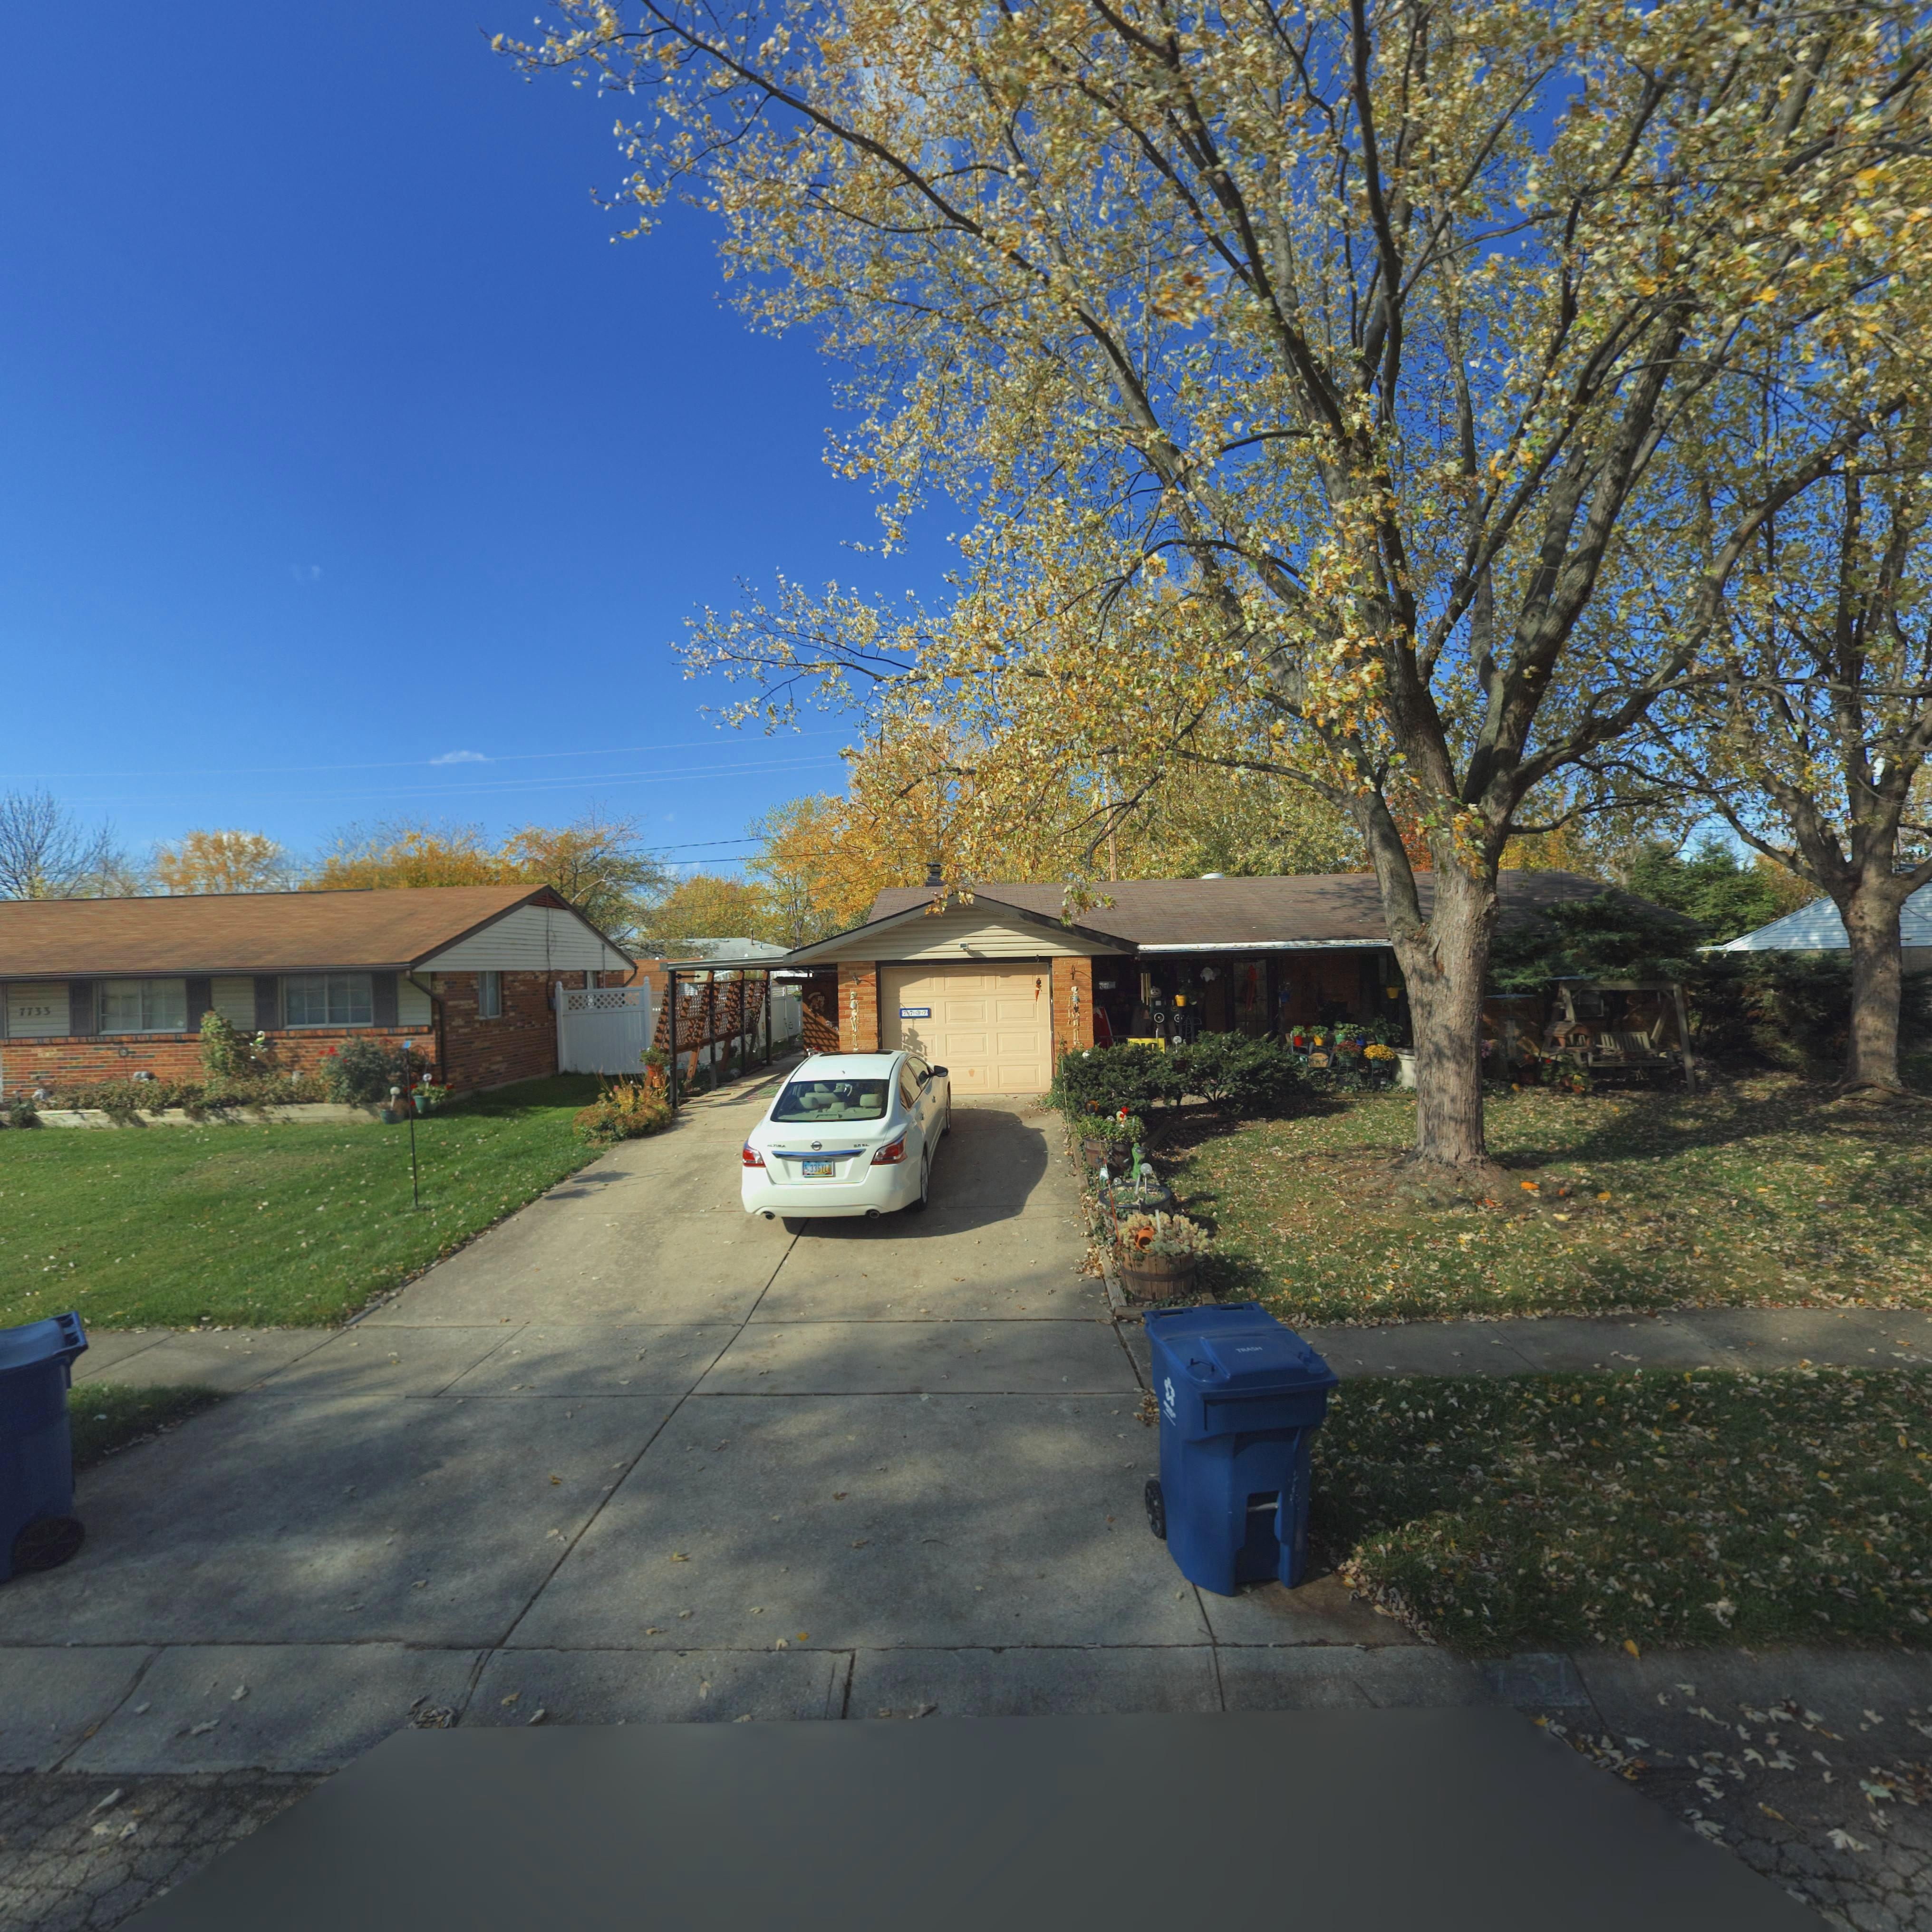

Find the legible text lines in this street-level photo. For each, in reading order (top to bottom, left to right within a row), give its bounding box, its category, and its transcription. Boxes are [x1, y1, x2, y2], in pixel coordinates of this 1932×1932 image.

[18, 1004, 52, 1019] StreetNumber: 773*
[902, 1009, 927, 1016] StreetNumber: 7737